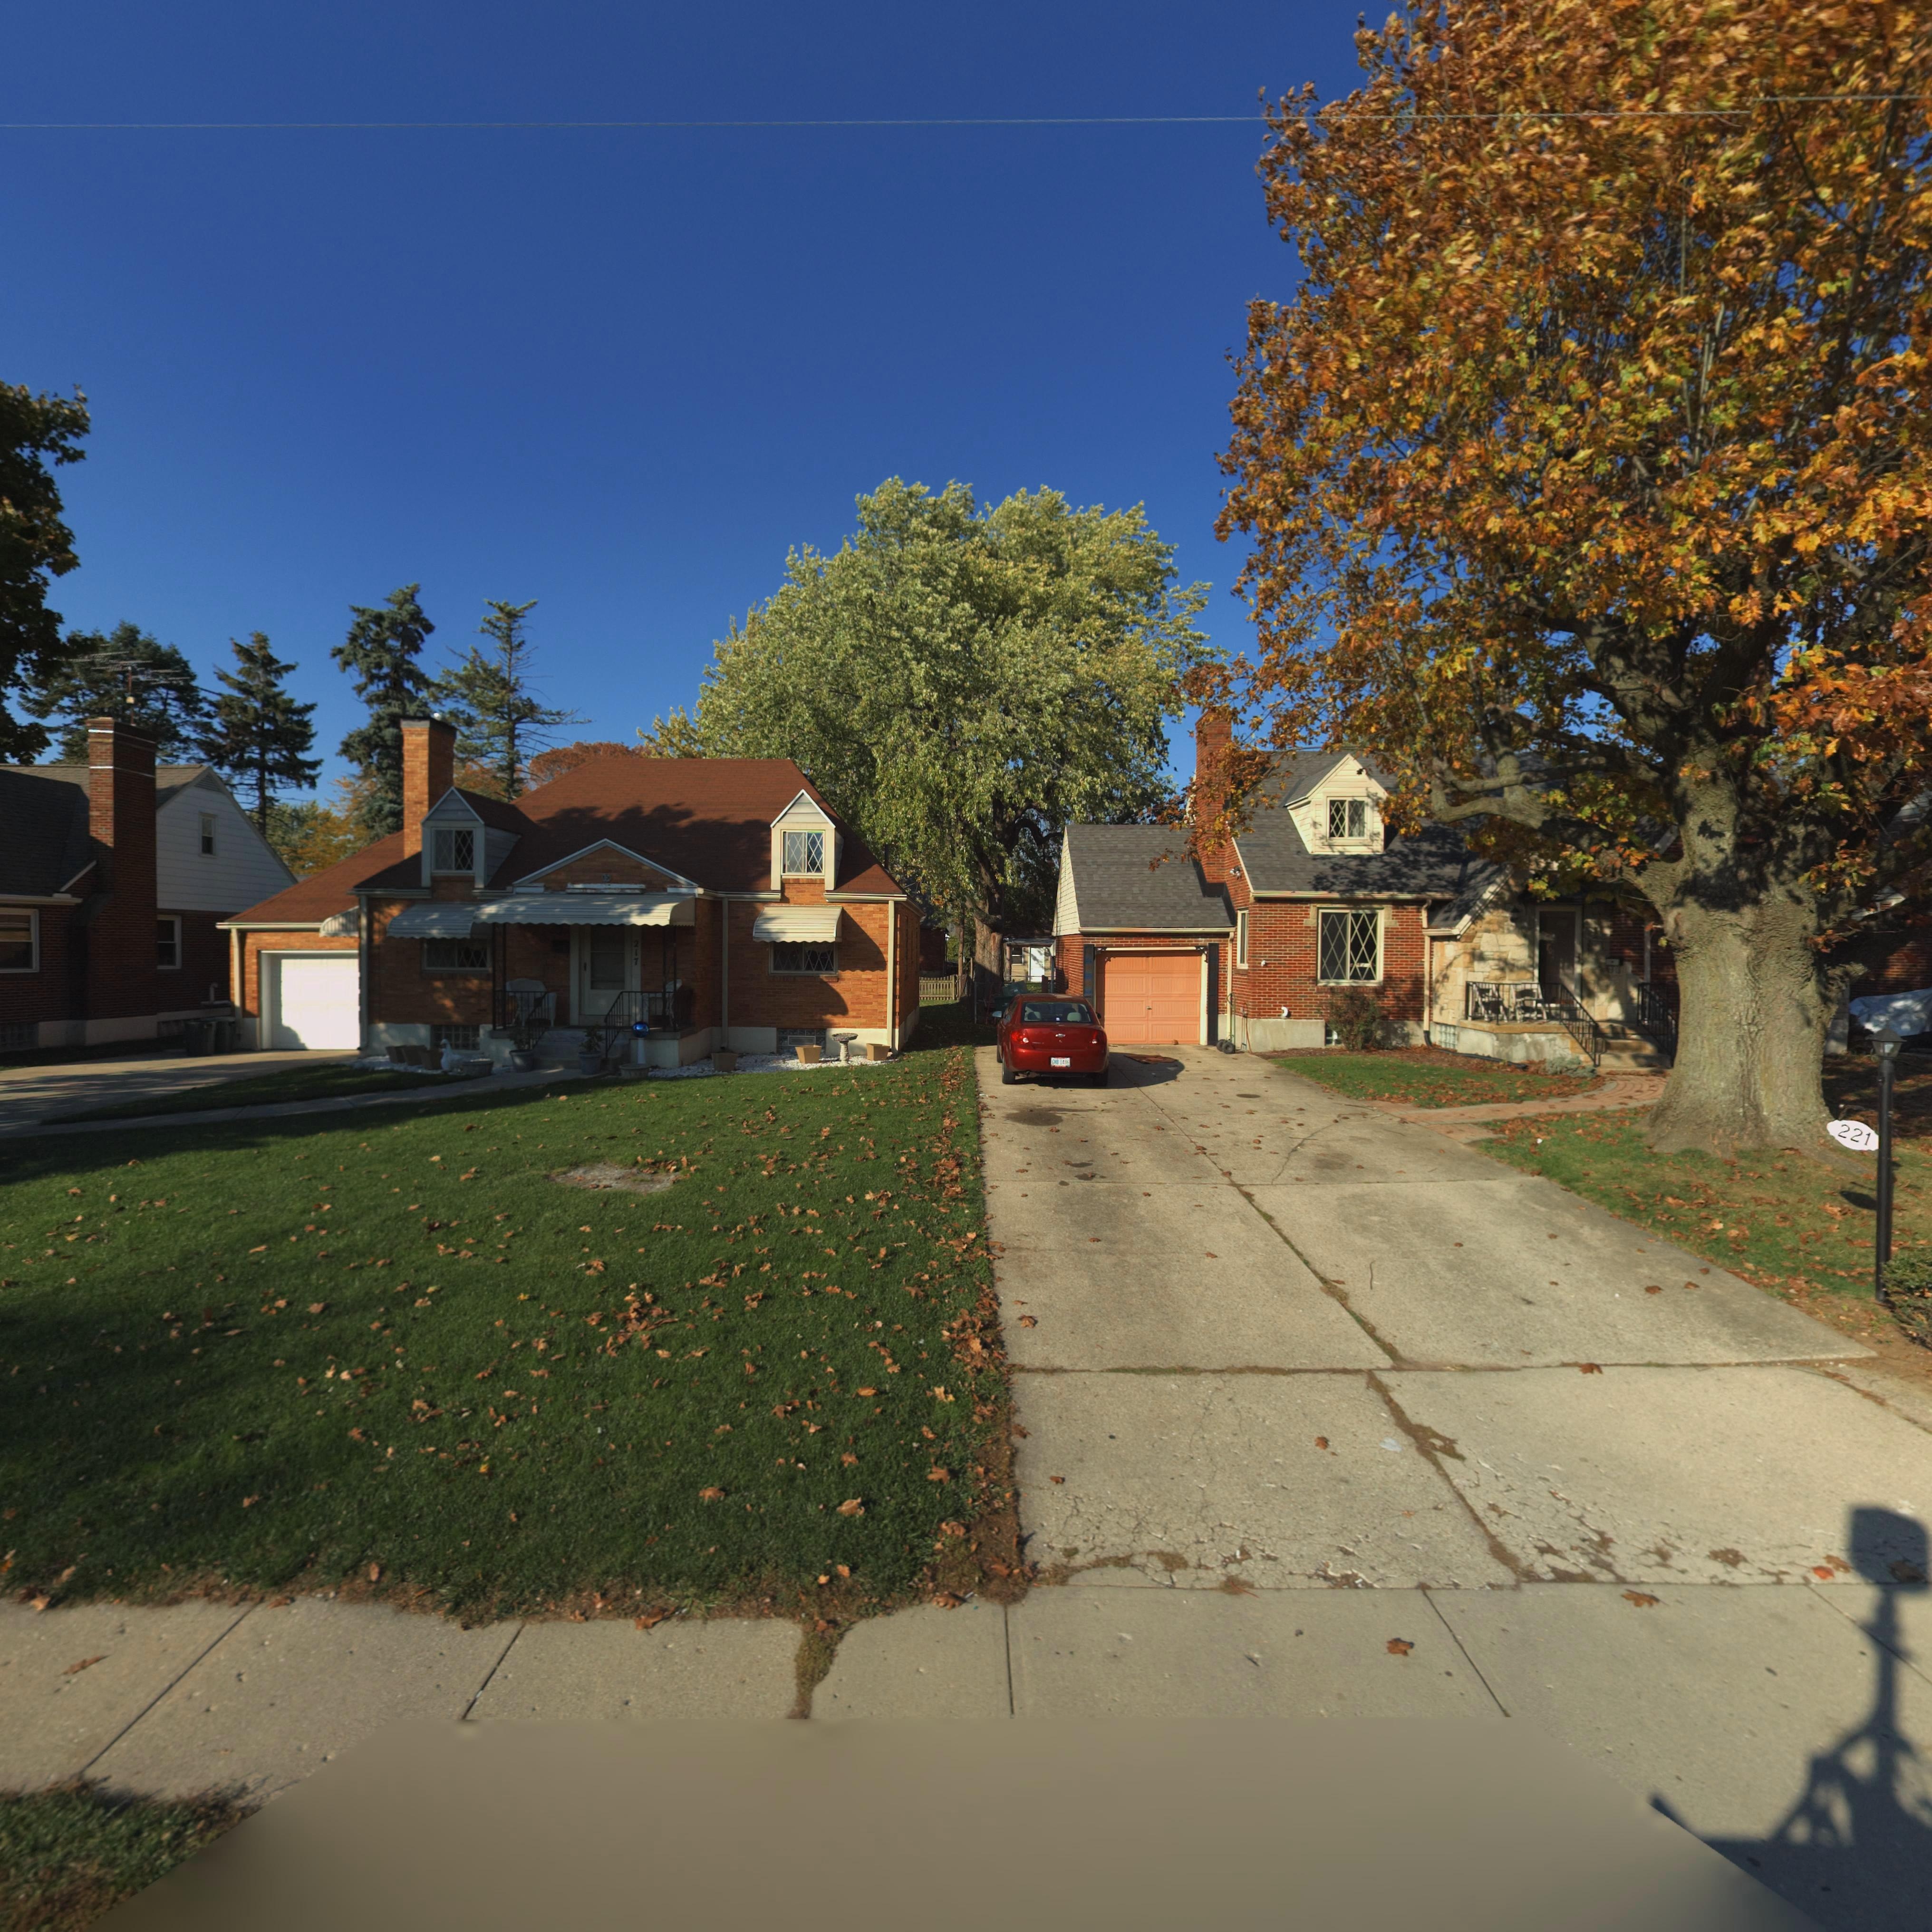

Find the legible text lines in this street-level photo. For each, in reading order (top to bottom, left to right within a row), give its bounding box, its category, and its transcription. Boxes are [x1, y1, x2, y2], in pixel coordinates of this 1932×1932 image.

[632, 938, 640, 967] StreetNumber: 217
[1060, 1059, 1063, 1065] None: 1
[1835, 1121, 1873, 1148] StreetNumber: 221